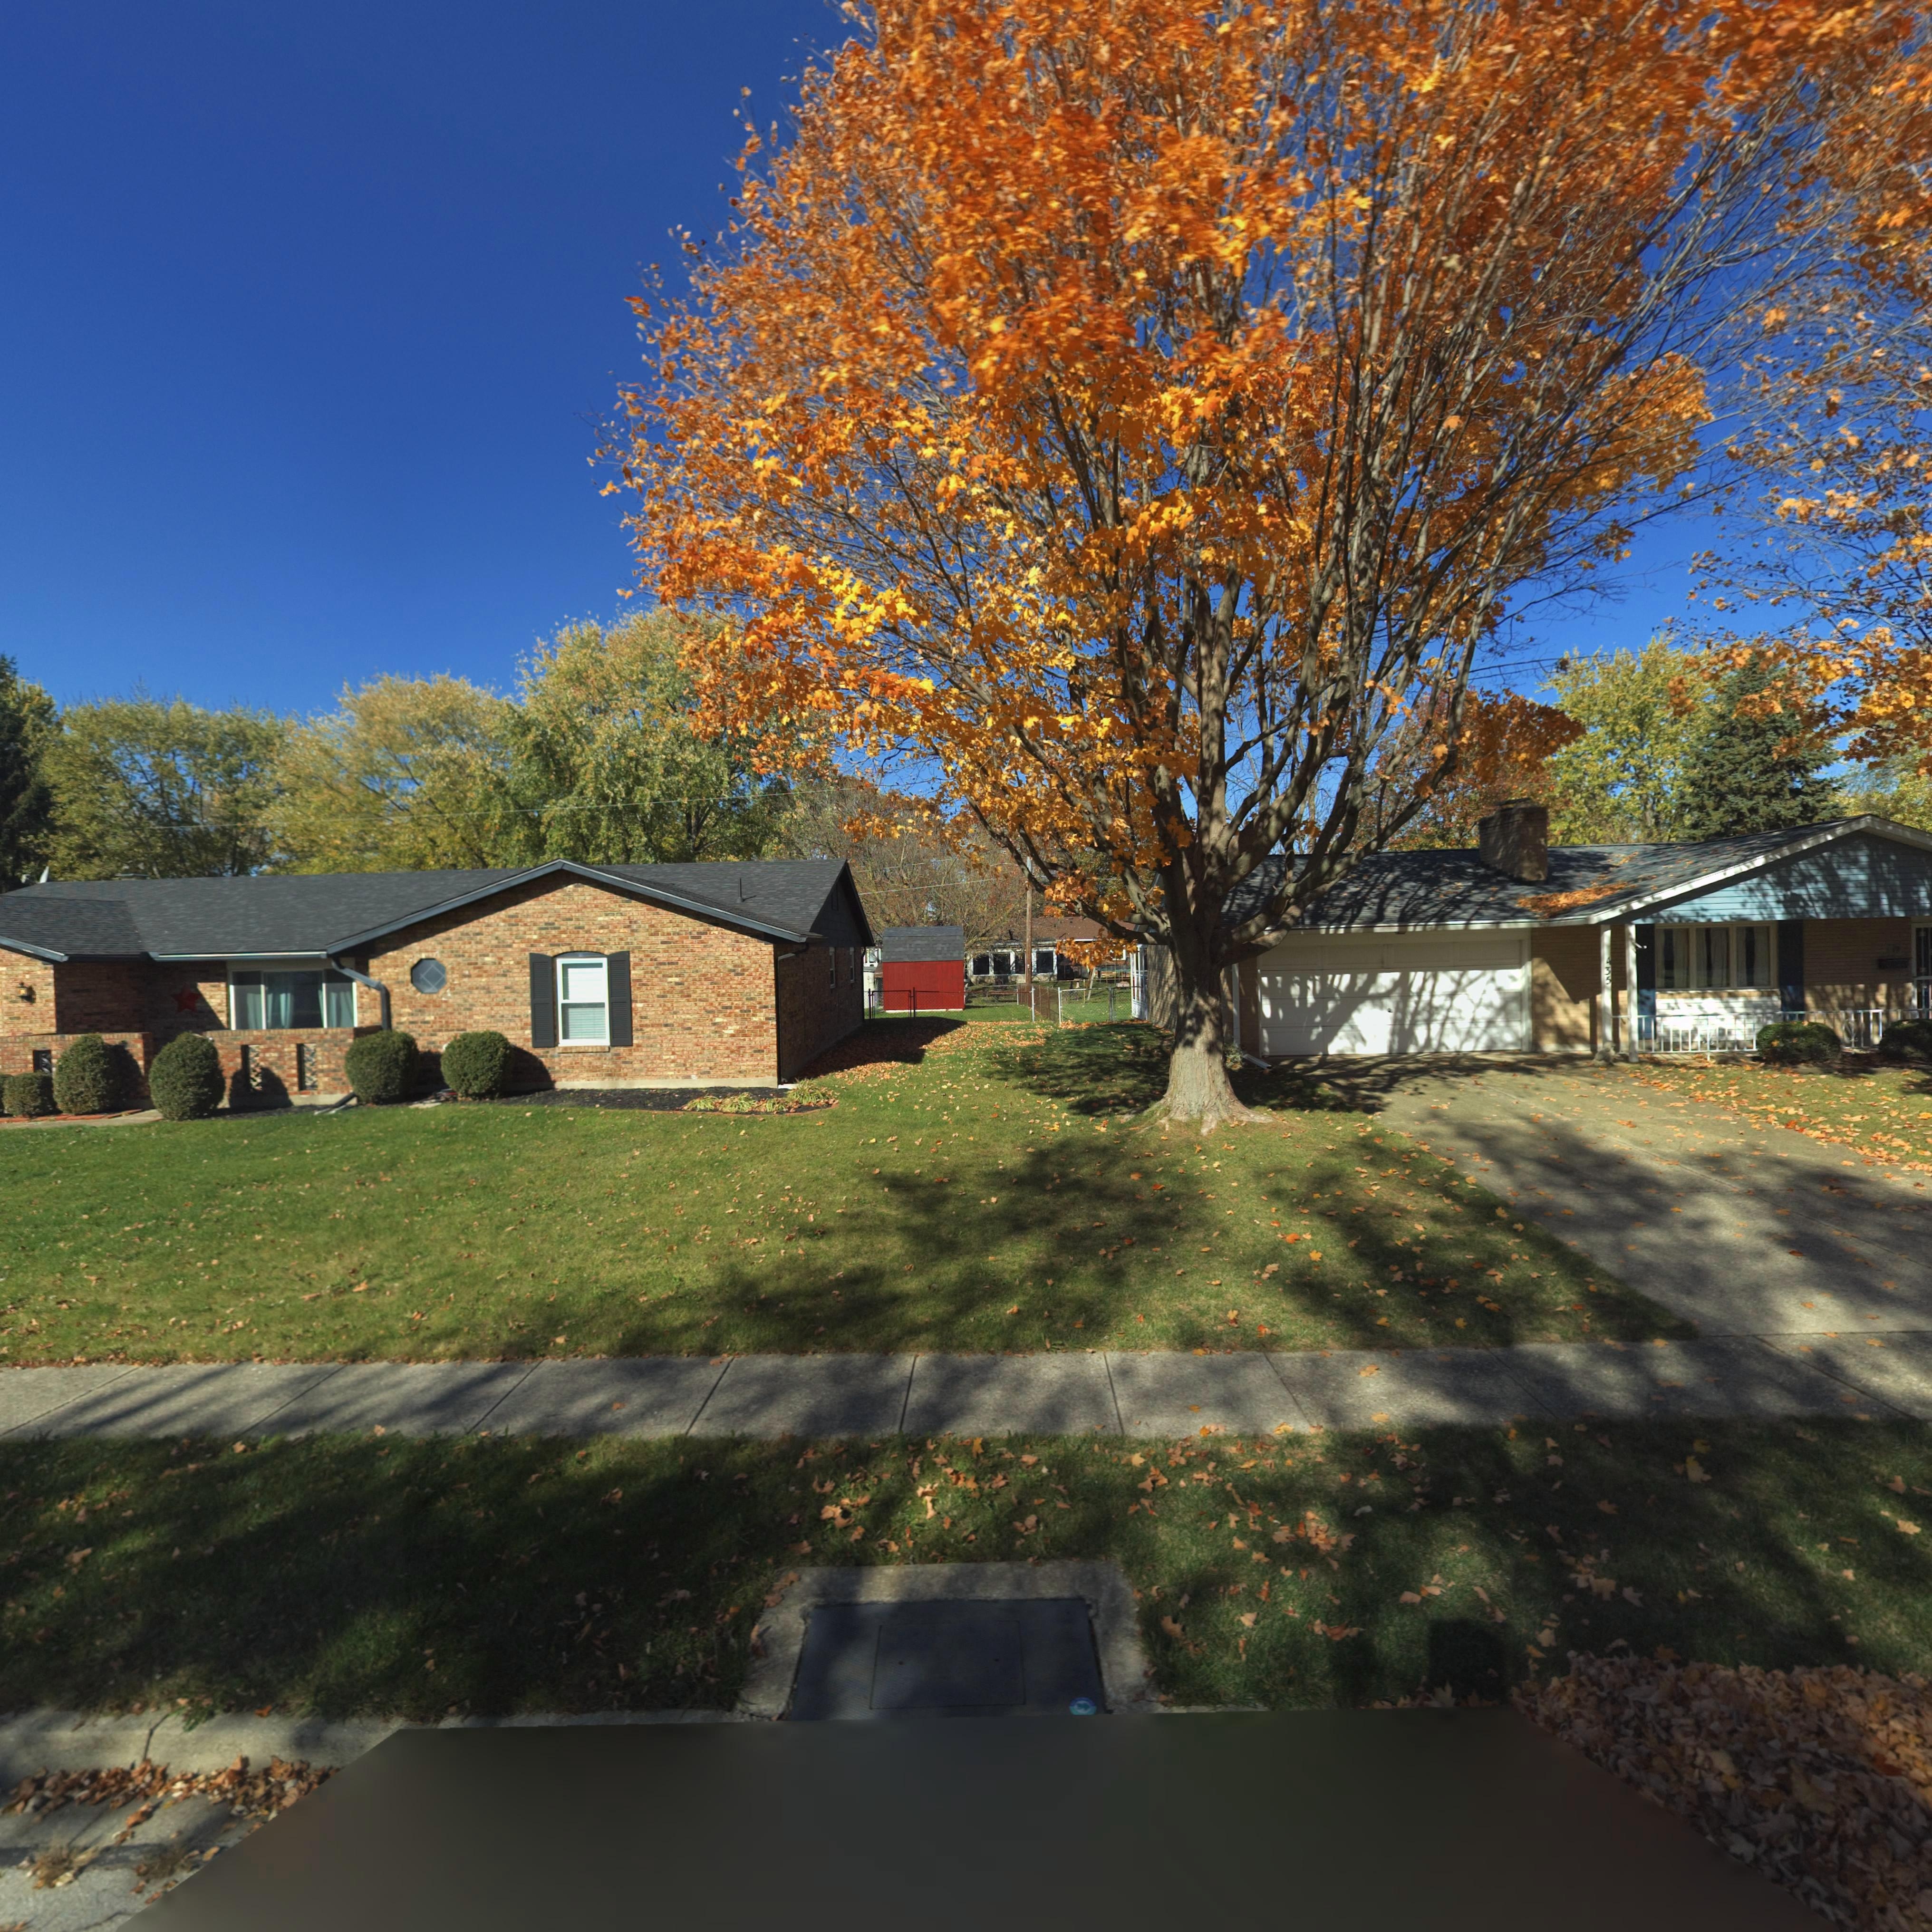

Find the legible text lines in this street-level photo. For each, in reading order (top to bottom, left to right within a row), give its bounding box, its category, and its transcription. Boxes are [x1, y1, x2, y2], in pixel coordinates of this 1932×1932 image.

[1604, 955, 1613, 985] StreetNumber: 435